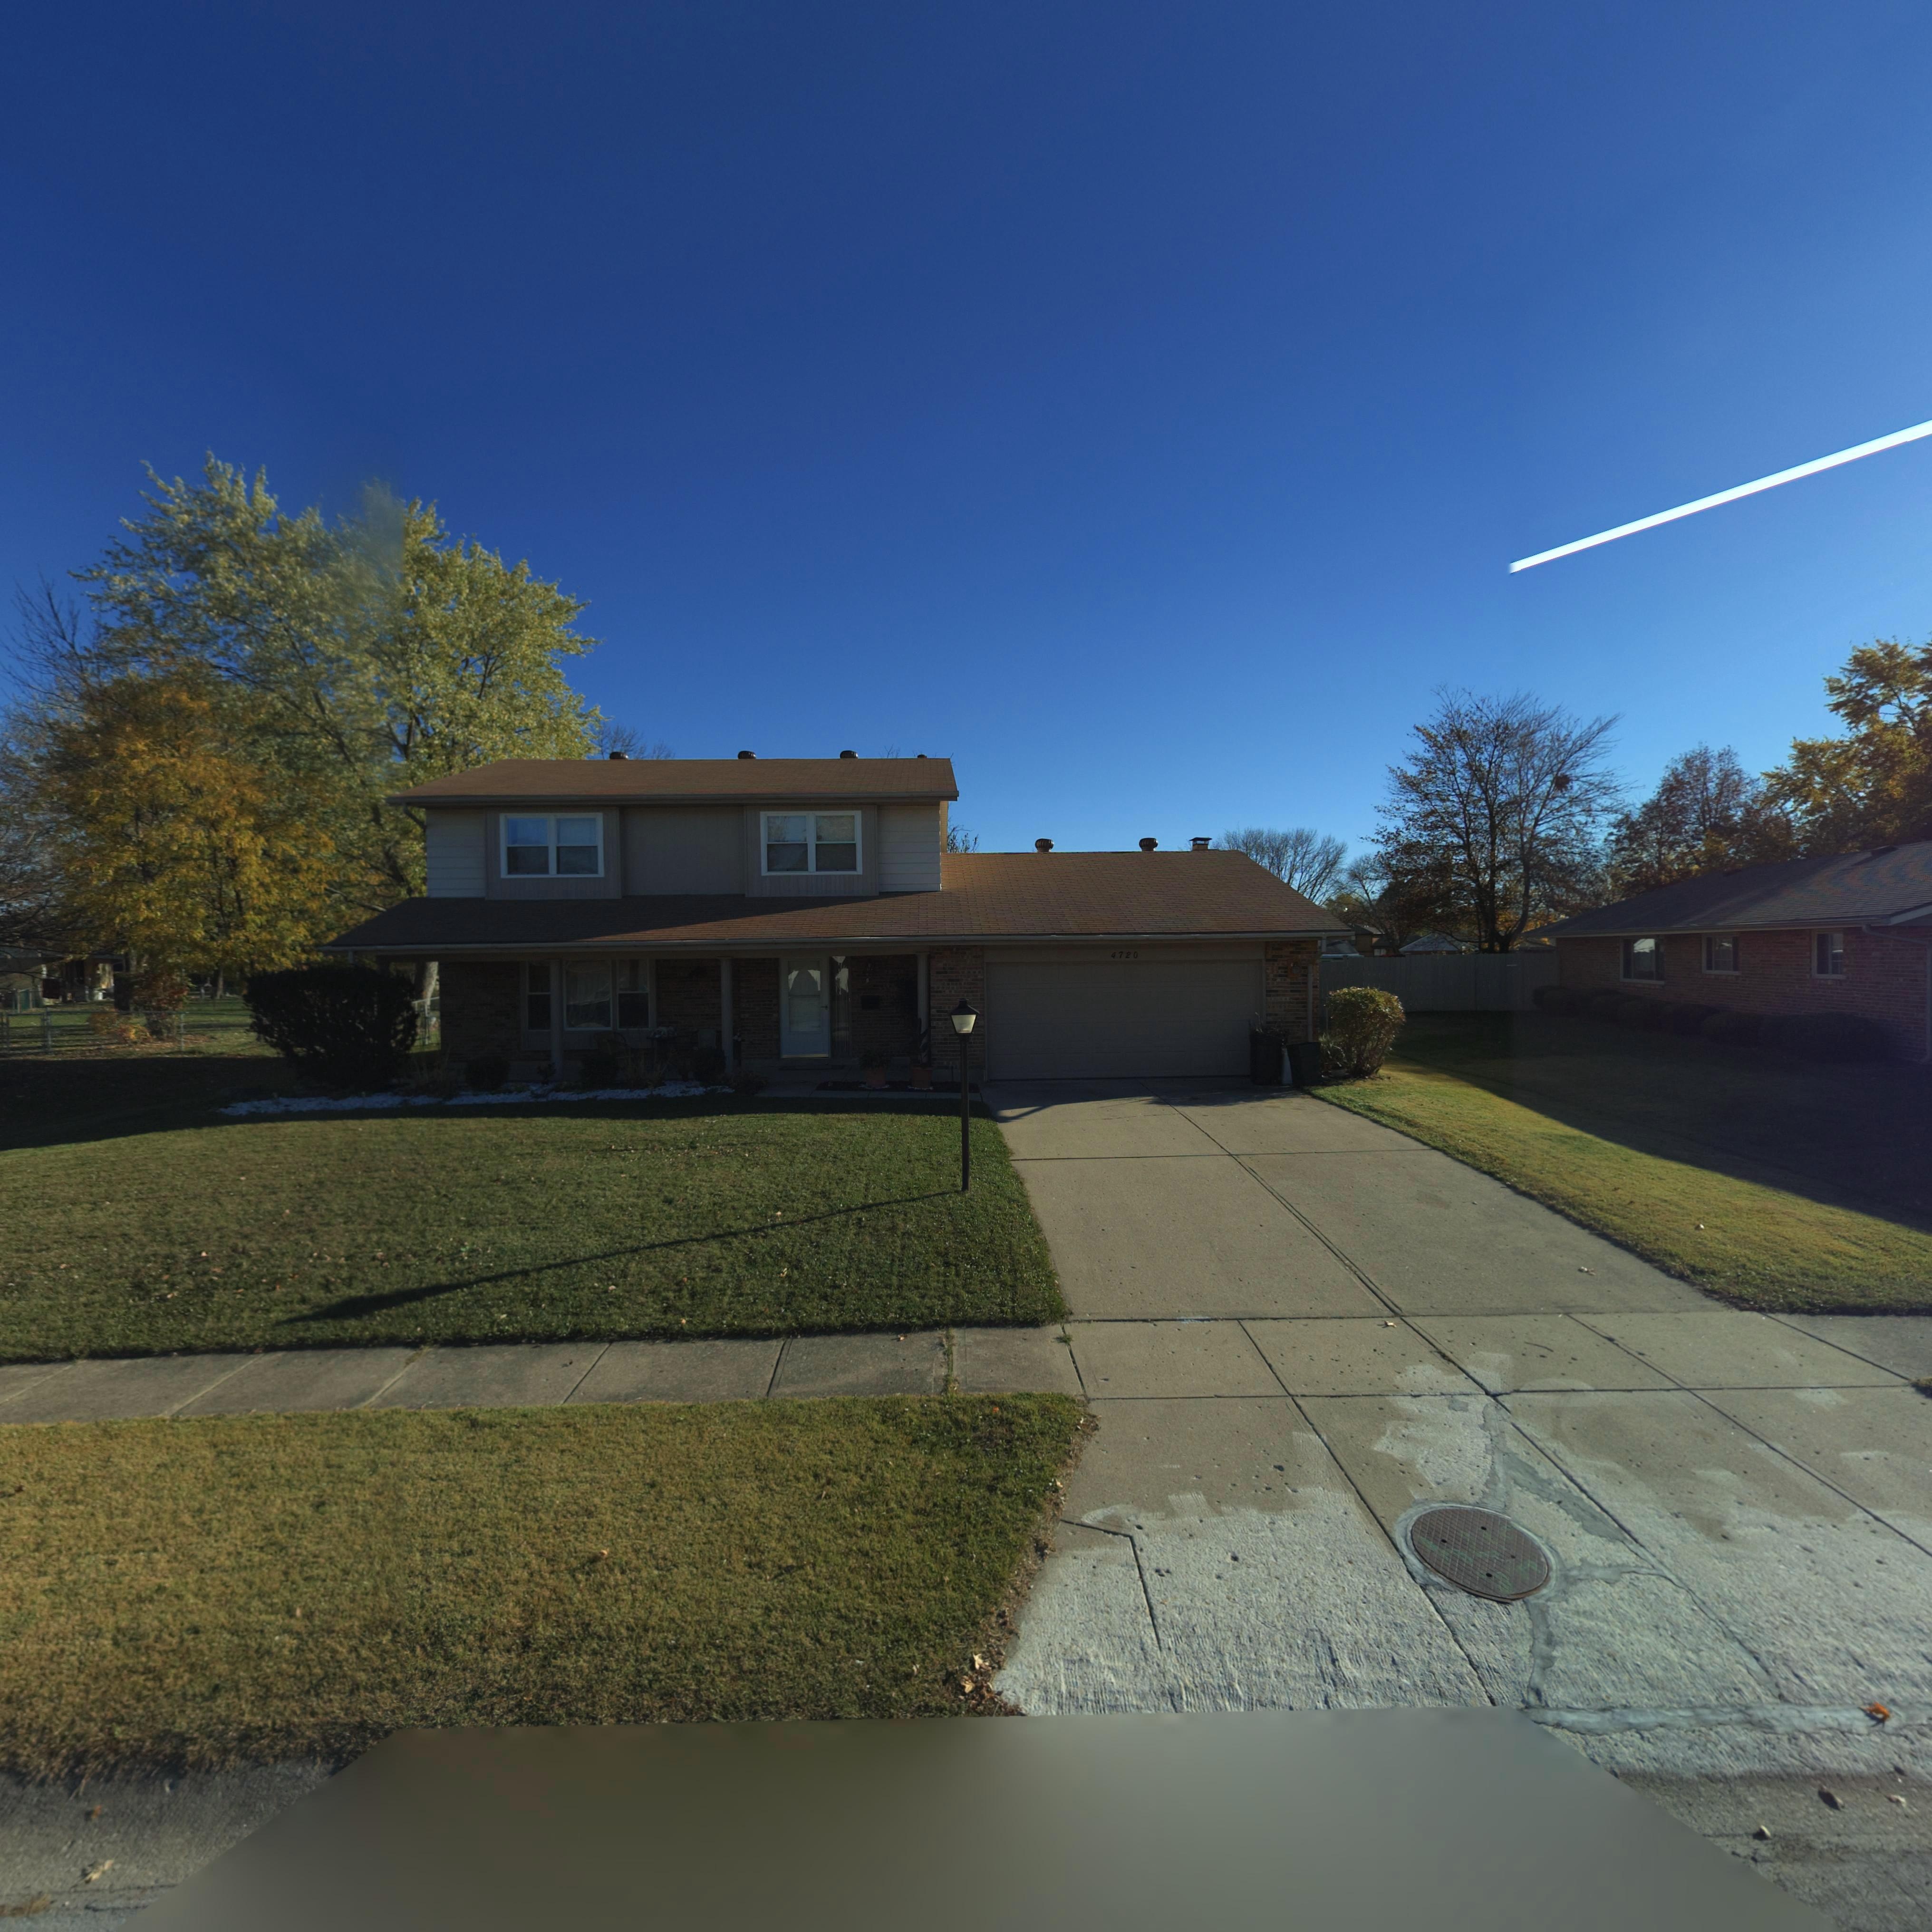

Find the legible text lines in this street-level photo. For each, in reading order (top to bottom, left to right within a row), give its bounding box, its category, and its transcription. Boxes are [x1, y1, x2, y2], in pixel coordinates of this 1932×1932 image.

[1110, 950, 1139, 960] StreetNumber: 4720